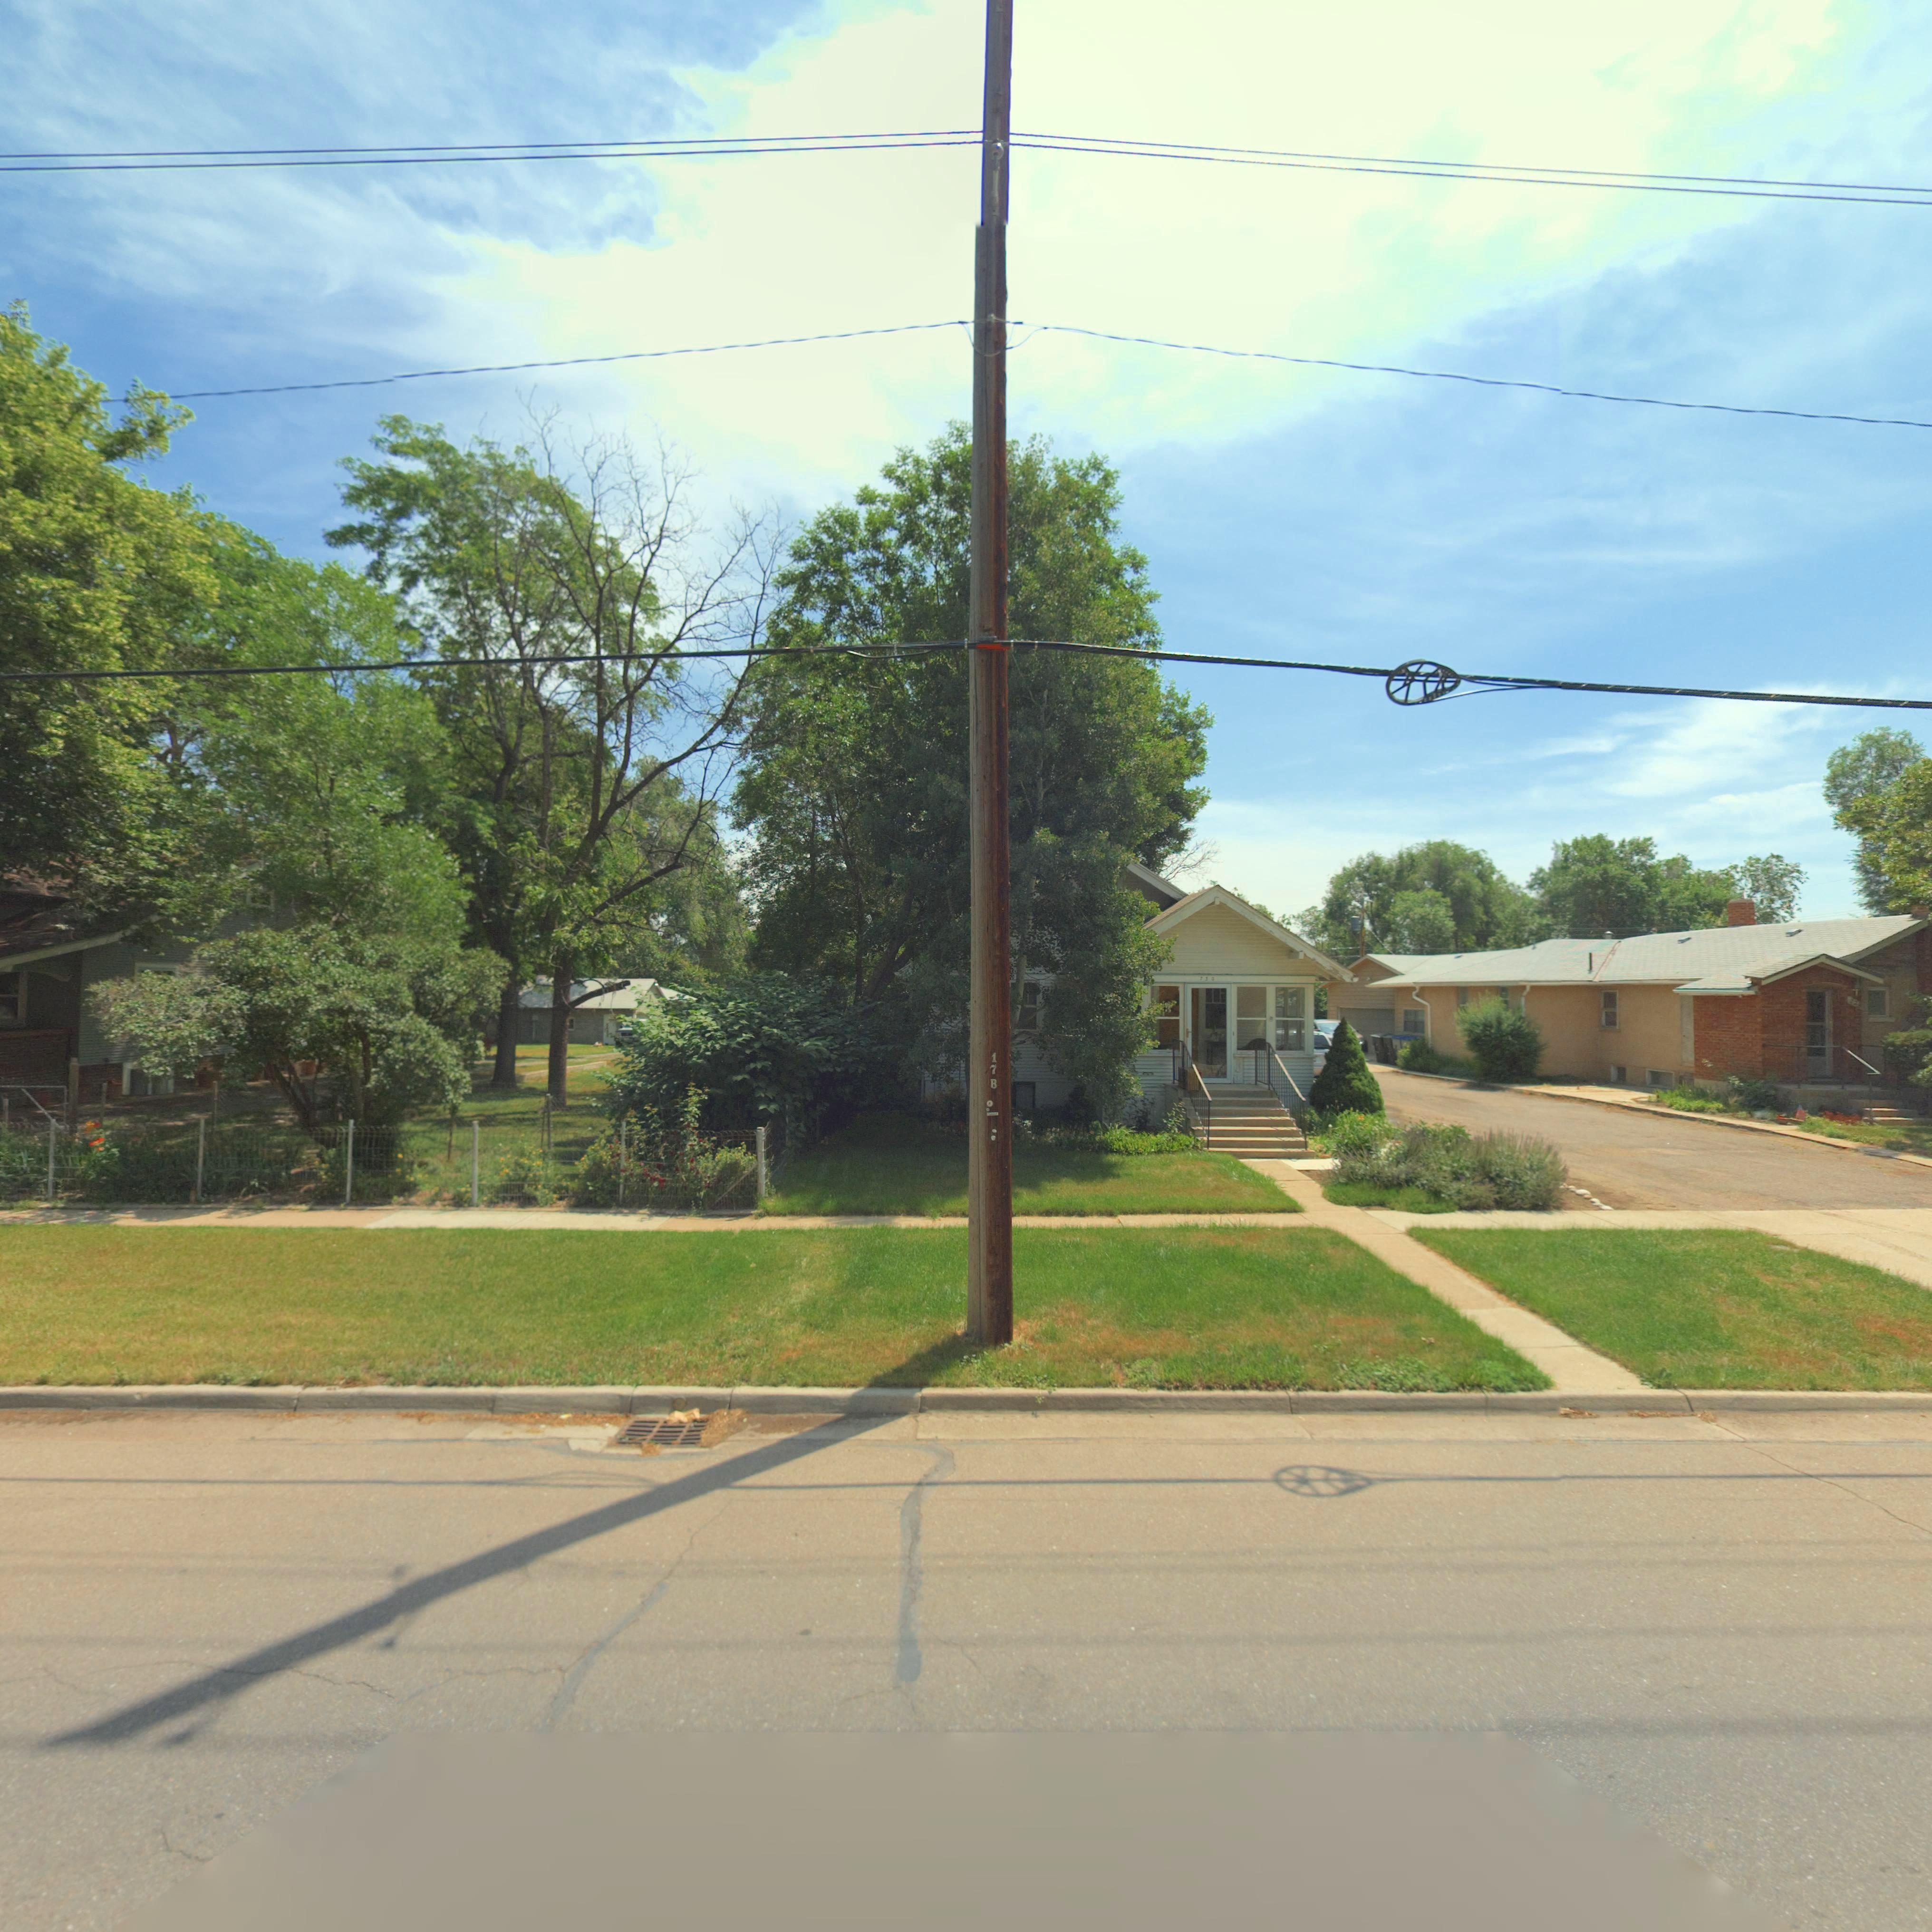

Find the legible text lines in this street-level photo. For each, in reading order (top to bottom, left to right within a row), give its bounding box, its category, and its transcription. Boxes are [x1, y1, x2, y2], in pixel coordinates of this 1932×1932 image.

[1199, 976, 1215, 981] StreetNumber: 73*
[1849, 997, 1862, 1008] StreetNumber: *2*